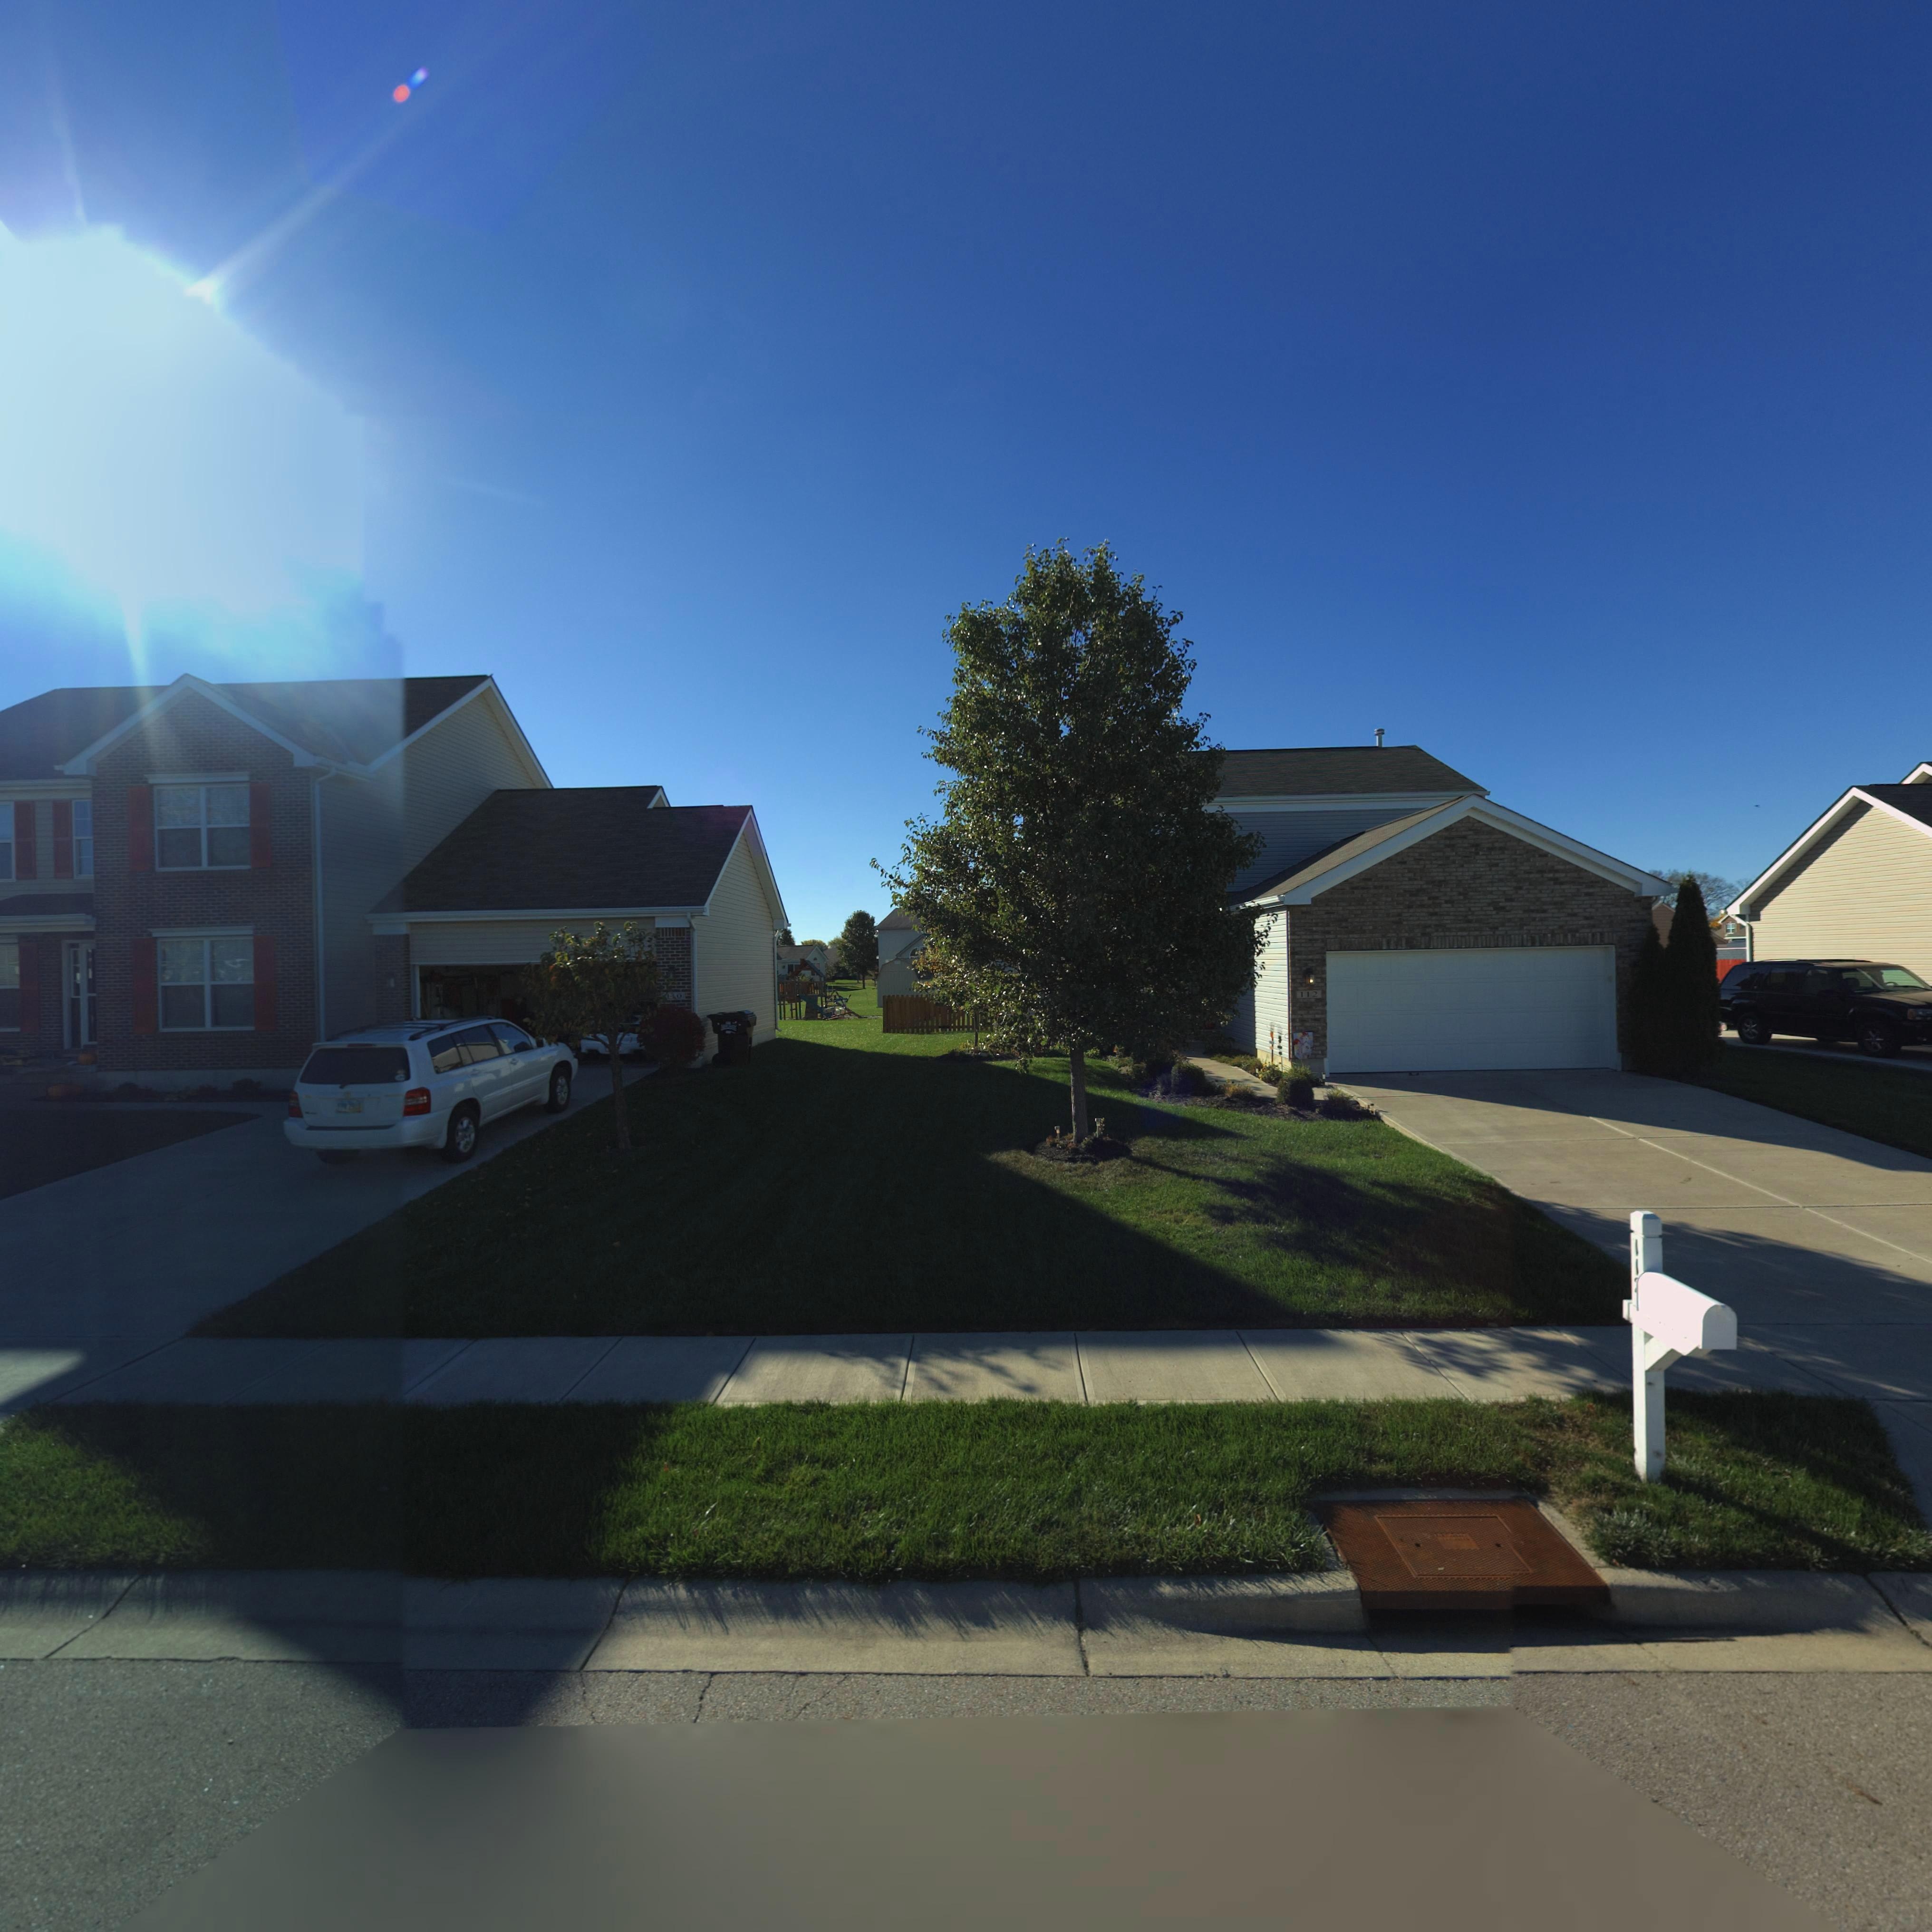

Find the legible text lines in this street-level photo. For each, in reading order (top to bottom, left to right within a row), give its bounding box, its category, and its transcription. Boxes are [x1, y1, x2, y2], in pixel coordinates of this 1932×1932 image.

[676, 993, 683, 1000] StreetNumber: 0
[1300, 990, 1318, 998] StreetNumber: 112